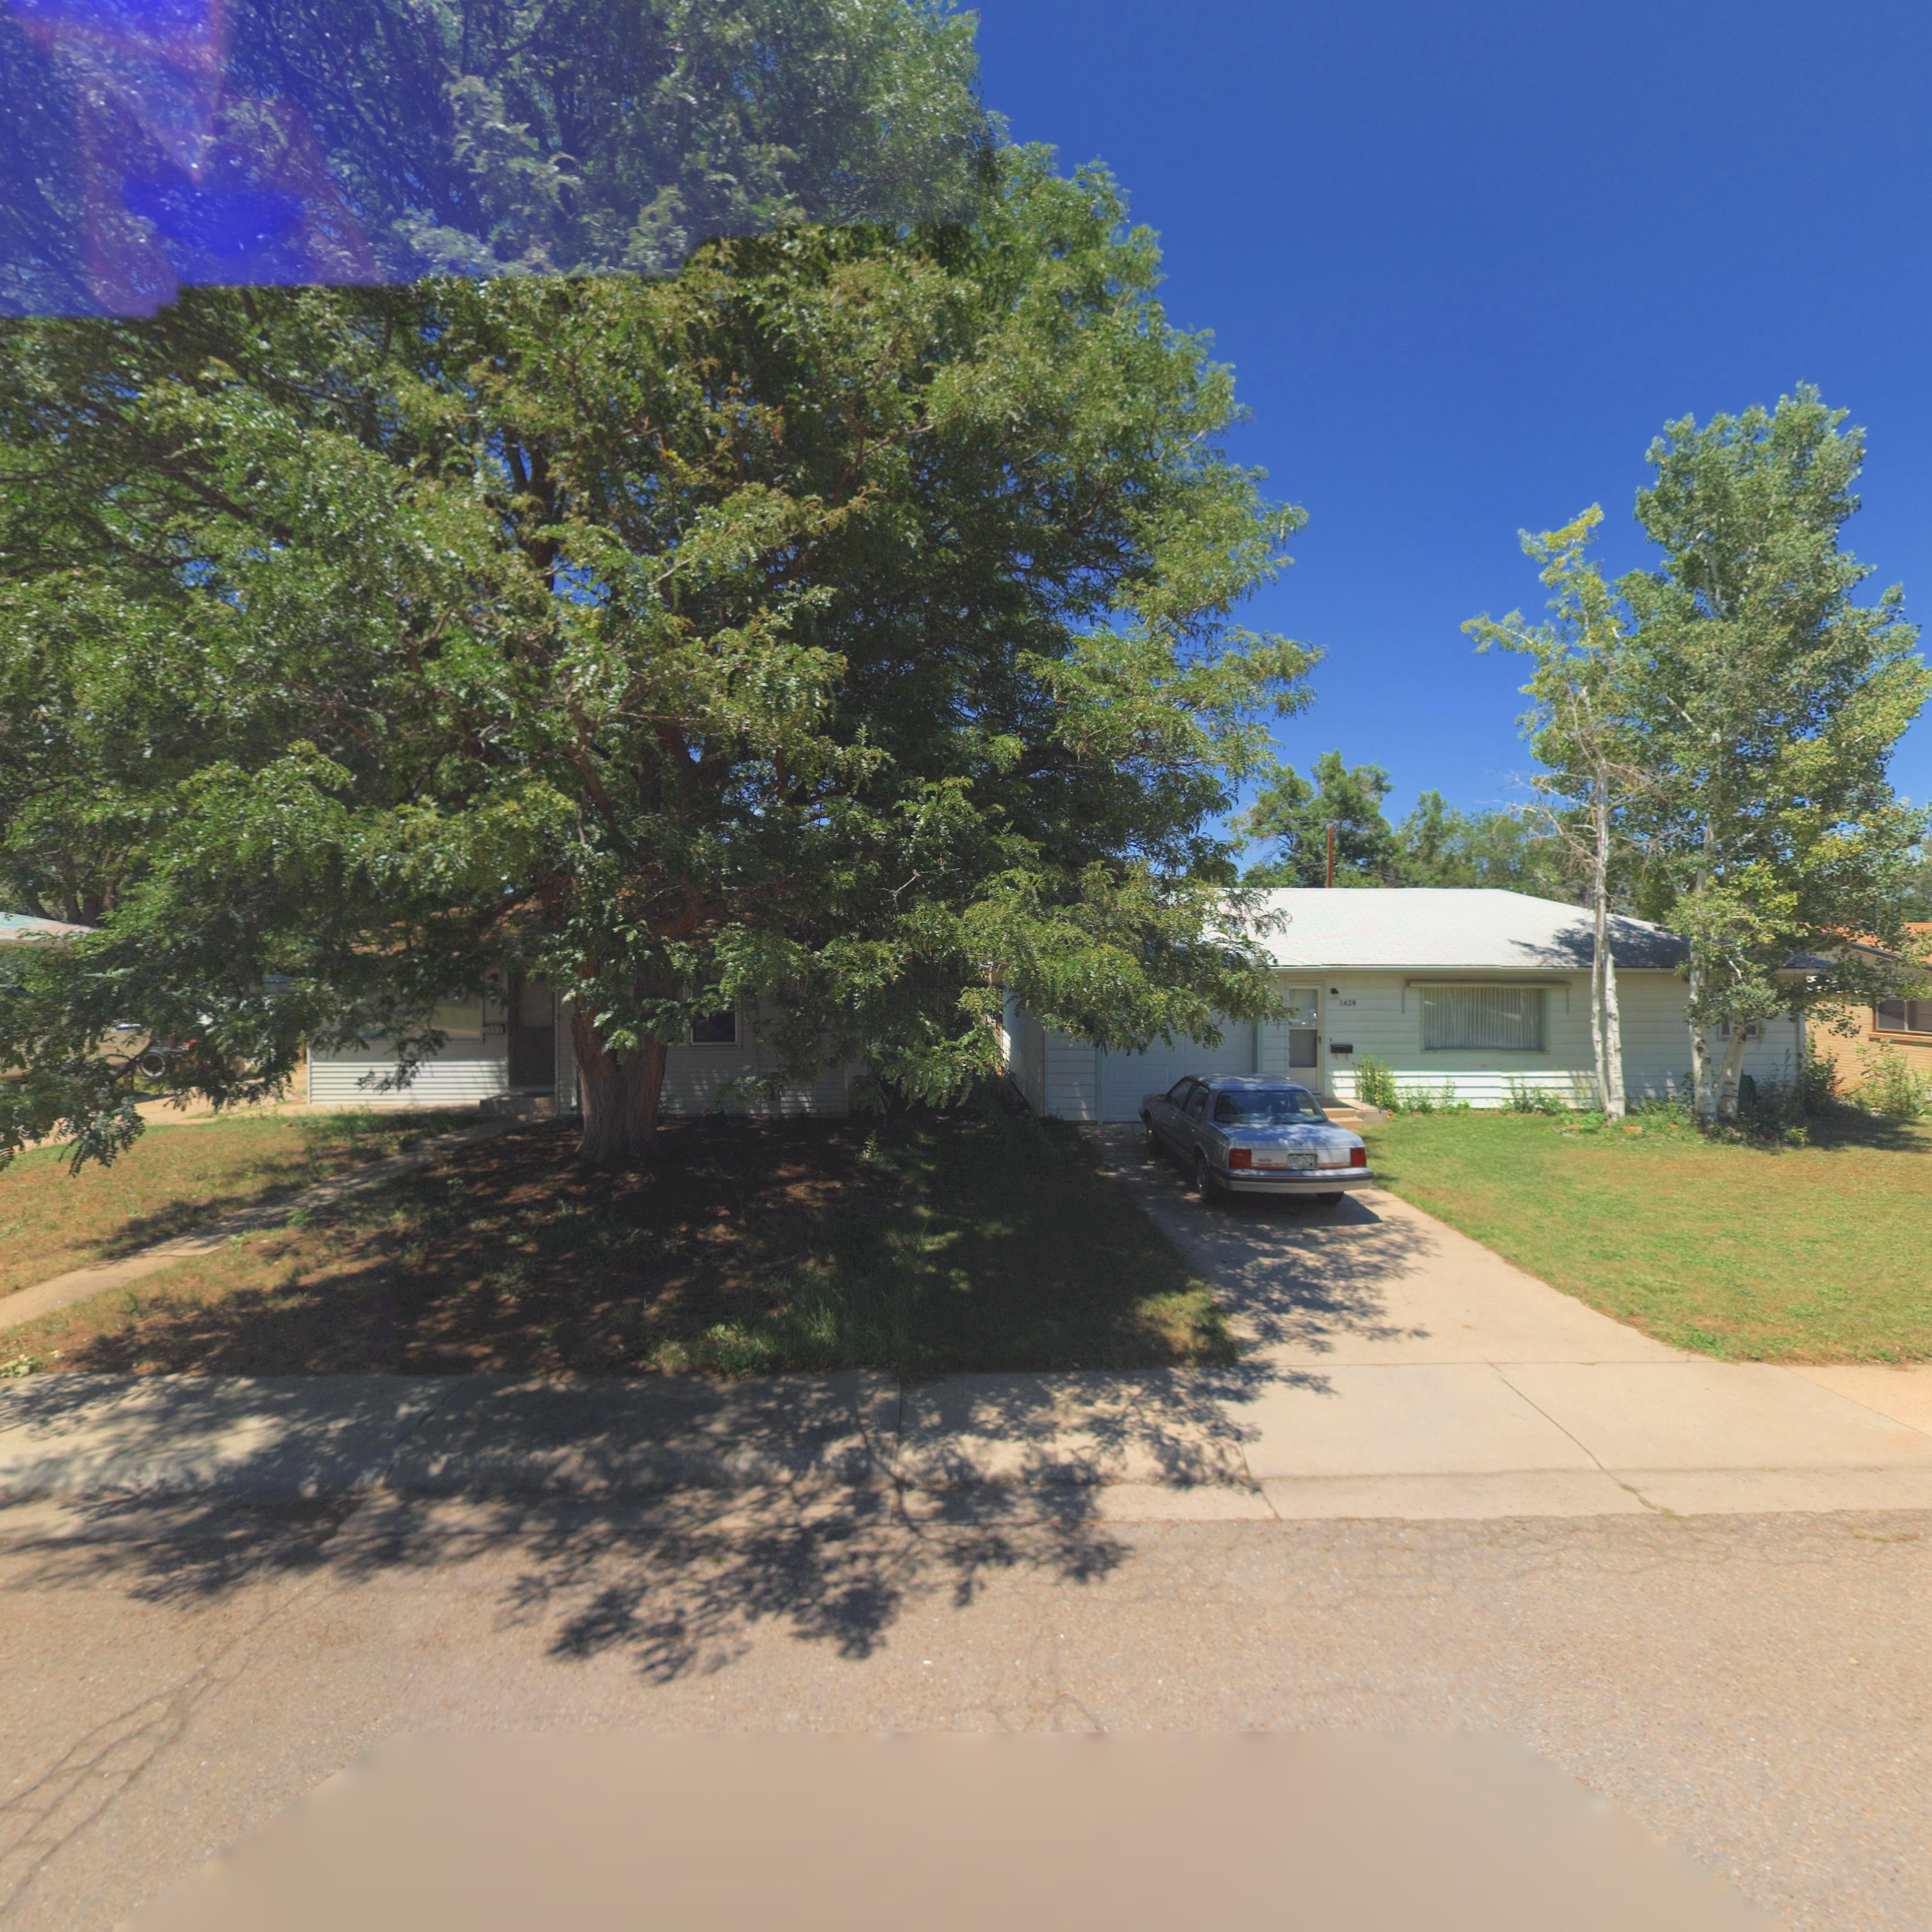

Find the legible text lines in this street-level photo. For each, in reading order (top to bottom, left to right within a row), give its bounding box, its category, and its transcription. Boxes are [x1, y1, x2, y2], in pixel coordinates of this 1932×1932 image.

[1340, 999, 1356, 1006] StreetNumber: 1428
[484, 1026, 502, 1034] StreetNumber: 14**